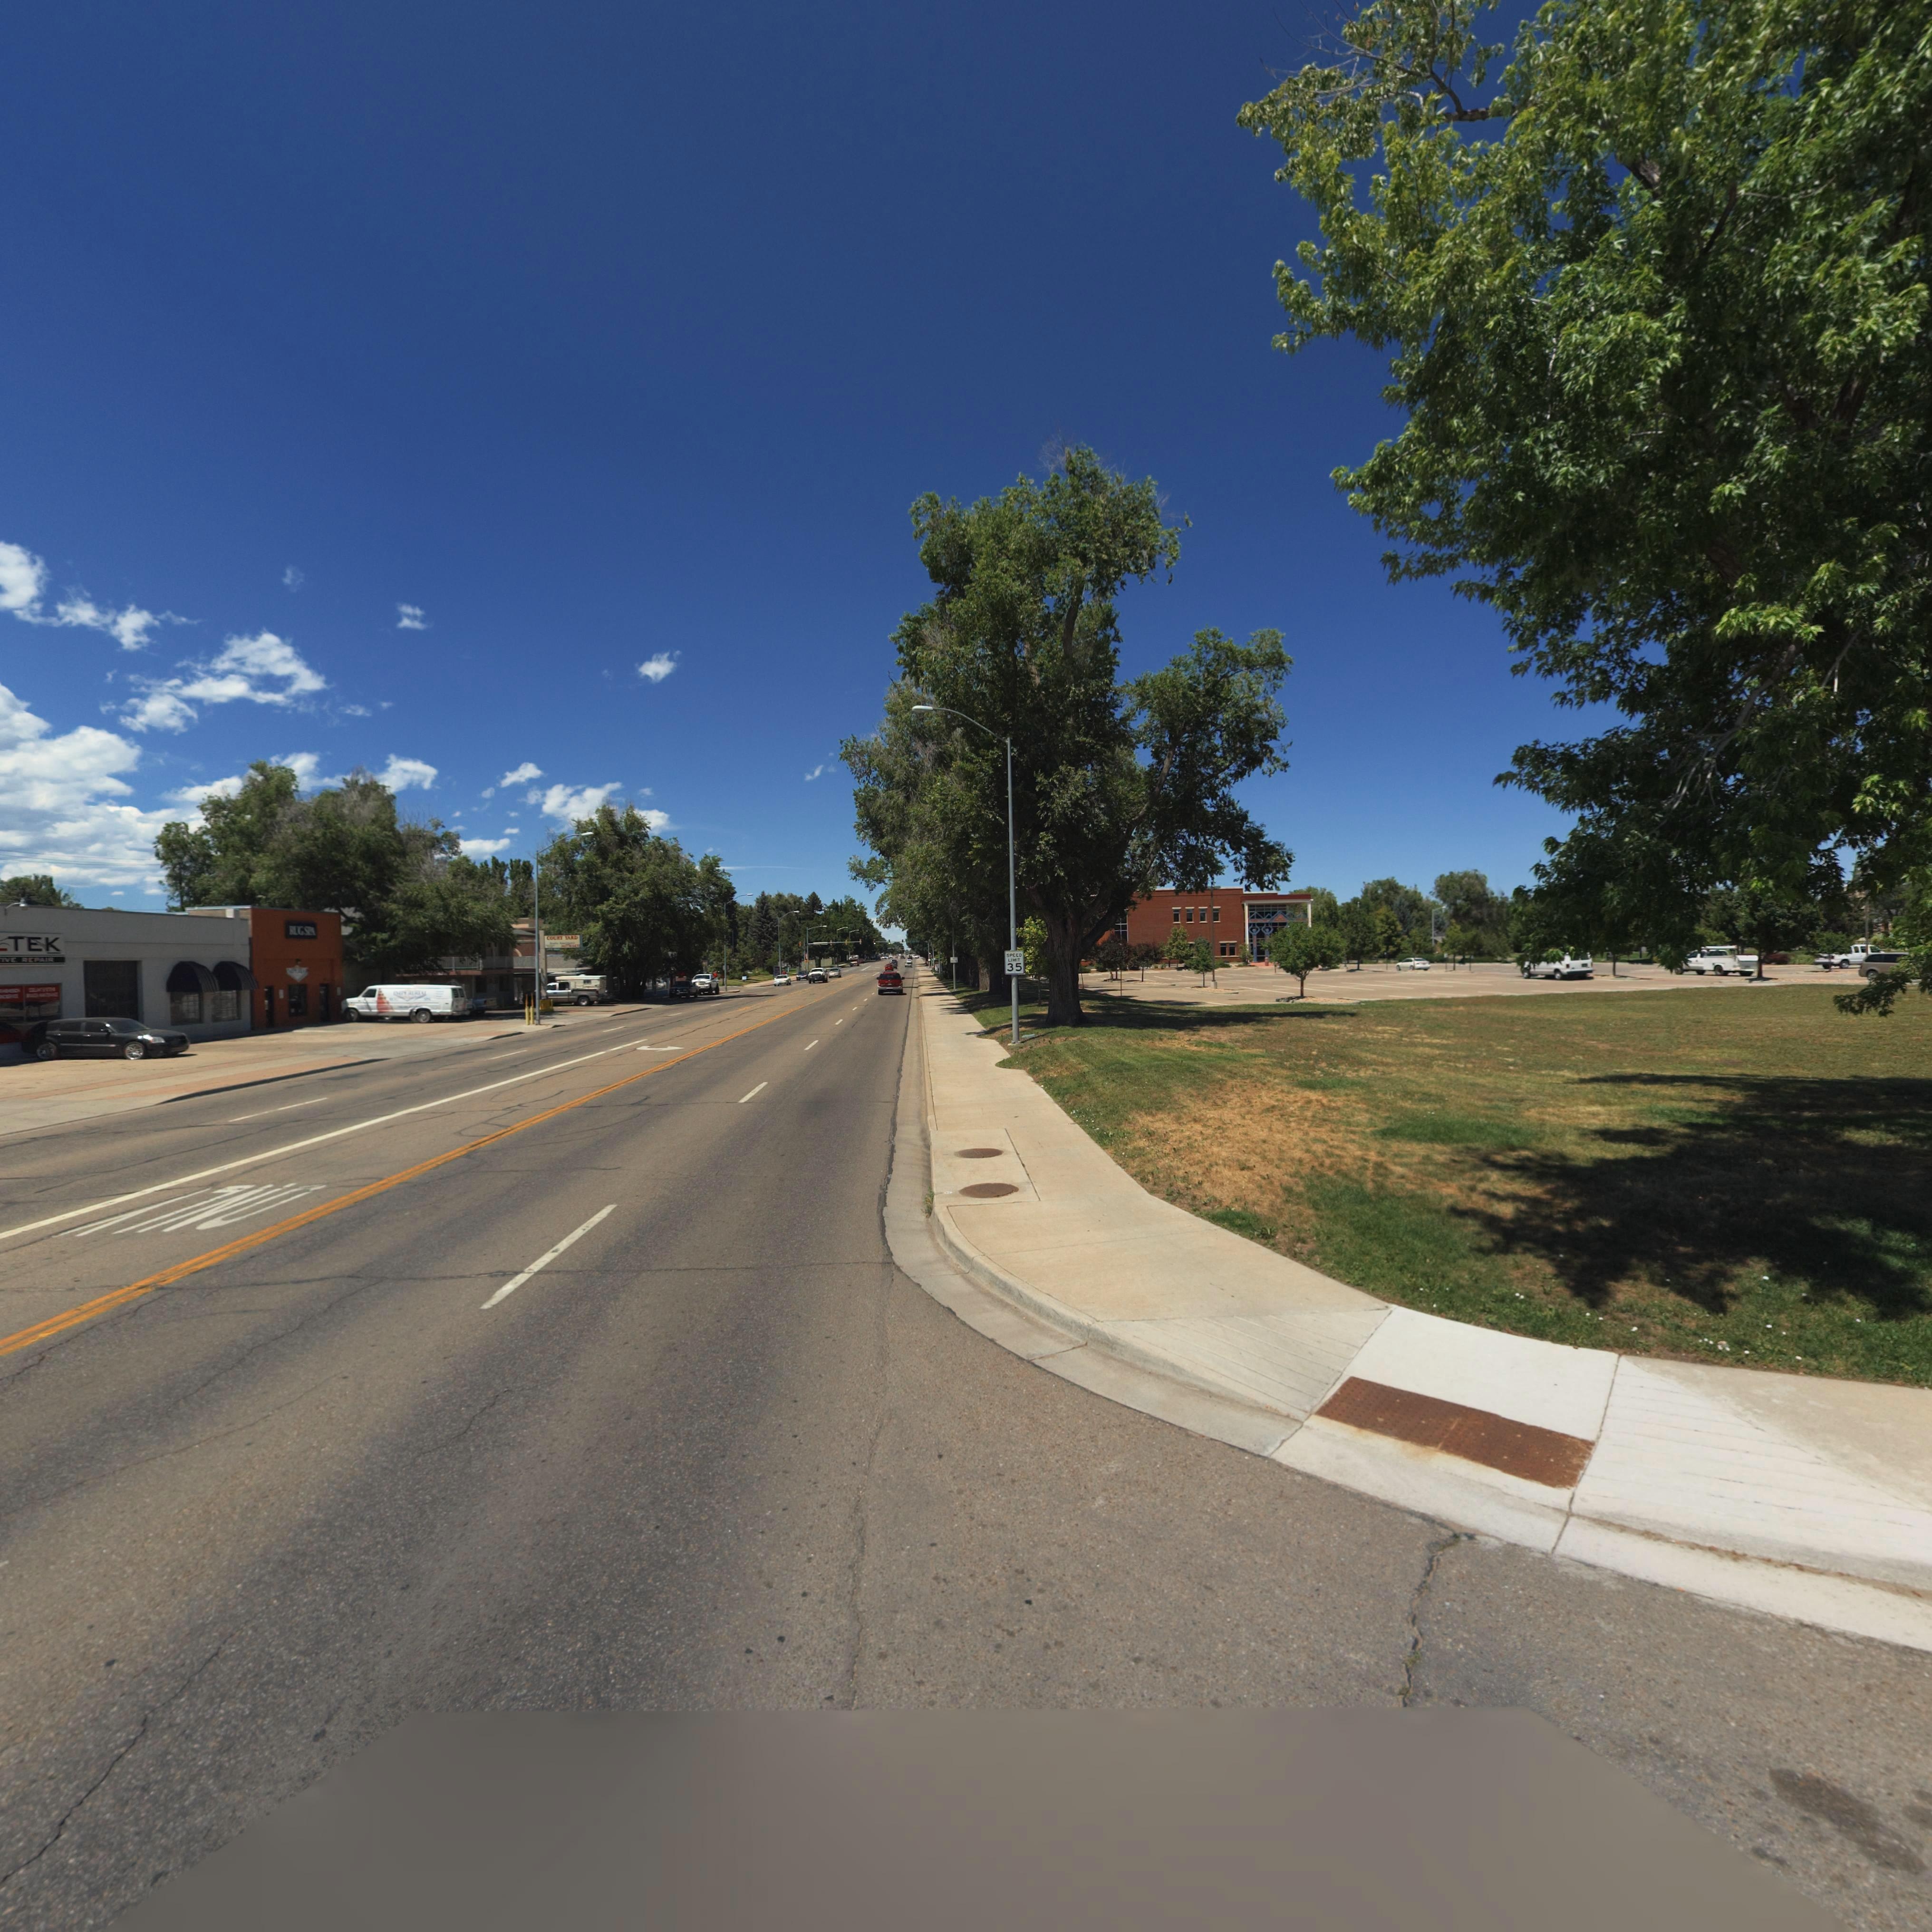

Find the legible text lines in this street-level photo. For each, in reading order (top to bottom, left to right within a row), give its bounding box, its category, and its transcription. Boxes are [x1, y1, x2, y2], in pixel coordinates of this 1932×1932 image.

[289, 925, 316, 935] BusinessName: RUG SPA
[546, 935, 578, 940] BusinessName: COURT YARD
[7, 936, 62, 952] BusinessName: TEK